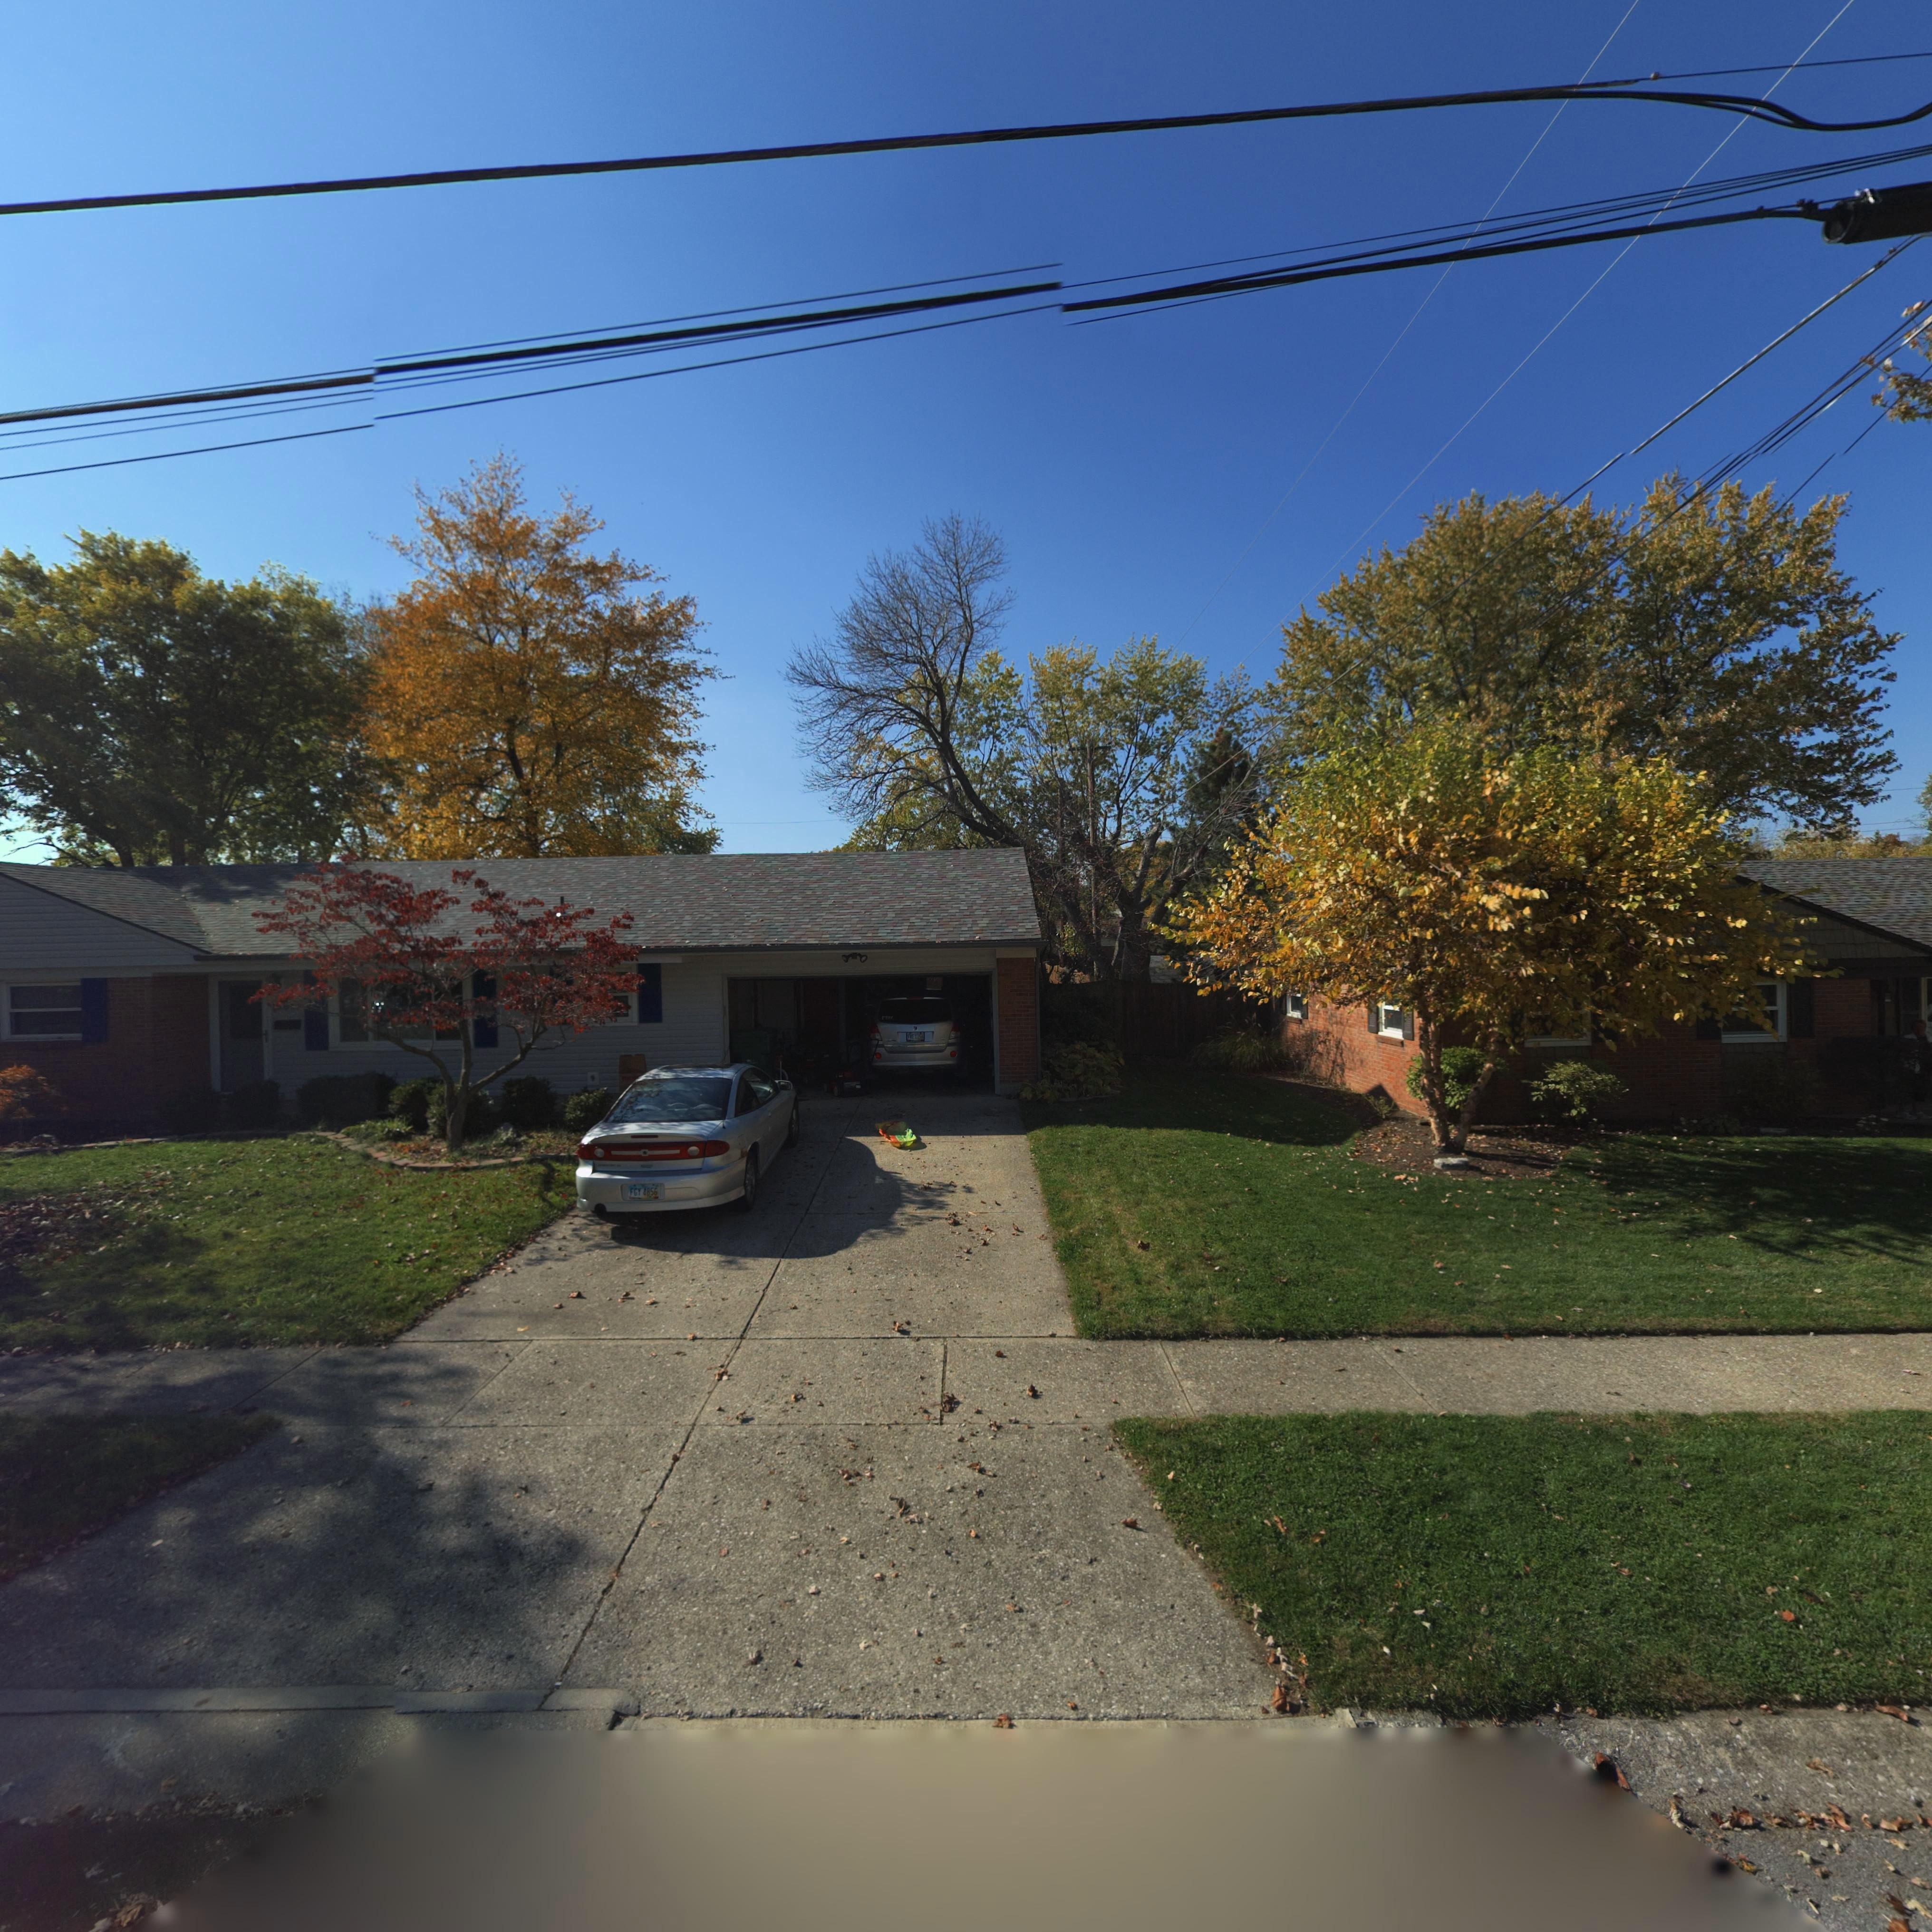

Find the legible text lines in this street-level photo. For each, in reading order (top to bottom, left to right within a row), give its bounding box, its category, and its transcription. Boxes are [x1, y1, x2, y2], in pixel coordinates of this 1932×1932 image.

[907, 1034, 924, 1039] None: FWE 1154
[629, 1187, 657, 1196] None: FGY 4856